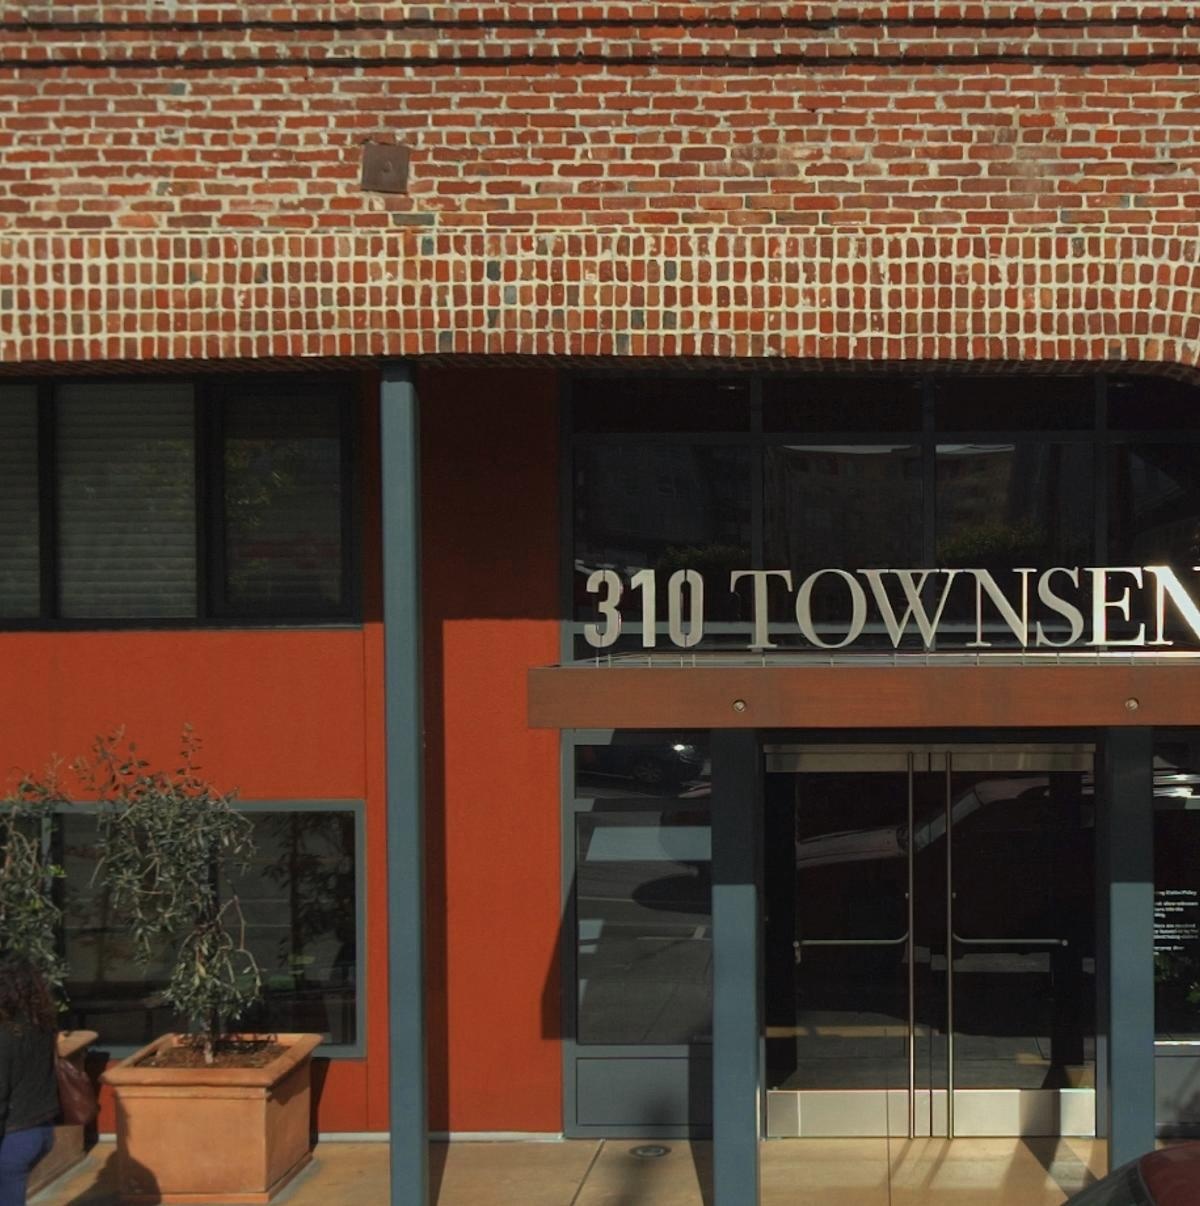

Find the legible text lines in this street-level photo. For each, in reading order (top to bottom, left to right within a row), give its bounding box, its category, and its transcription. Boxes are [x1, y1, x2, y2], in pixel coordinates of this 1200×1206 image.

[581, 565, 707, 650] StreetNumber: 310
[727, 563, 1149, 651] StreetName: TOWNSE